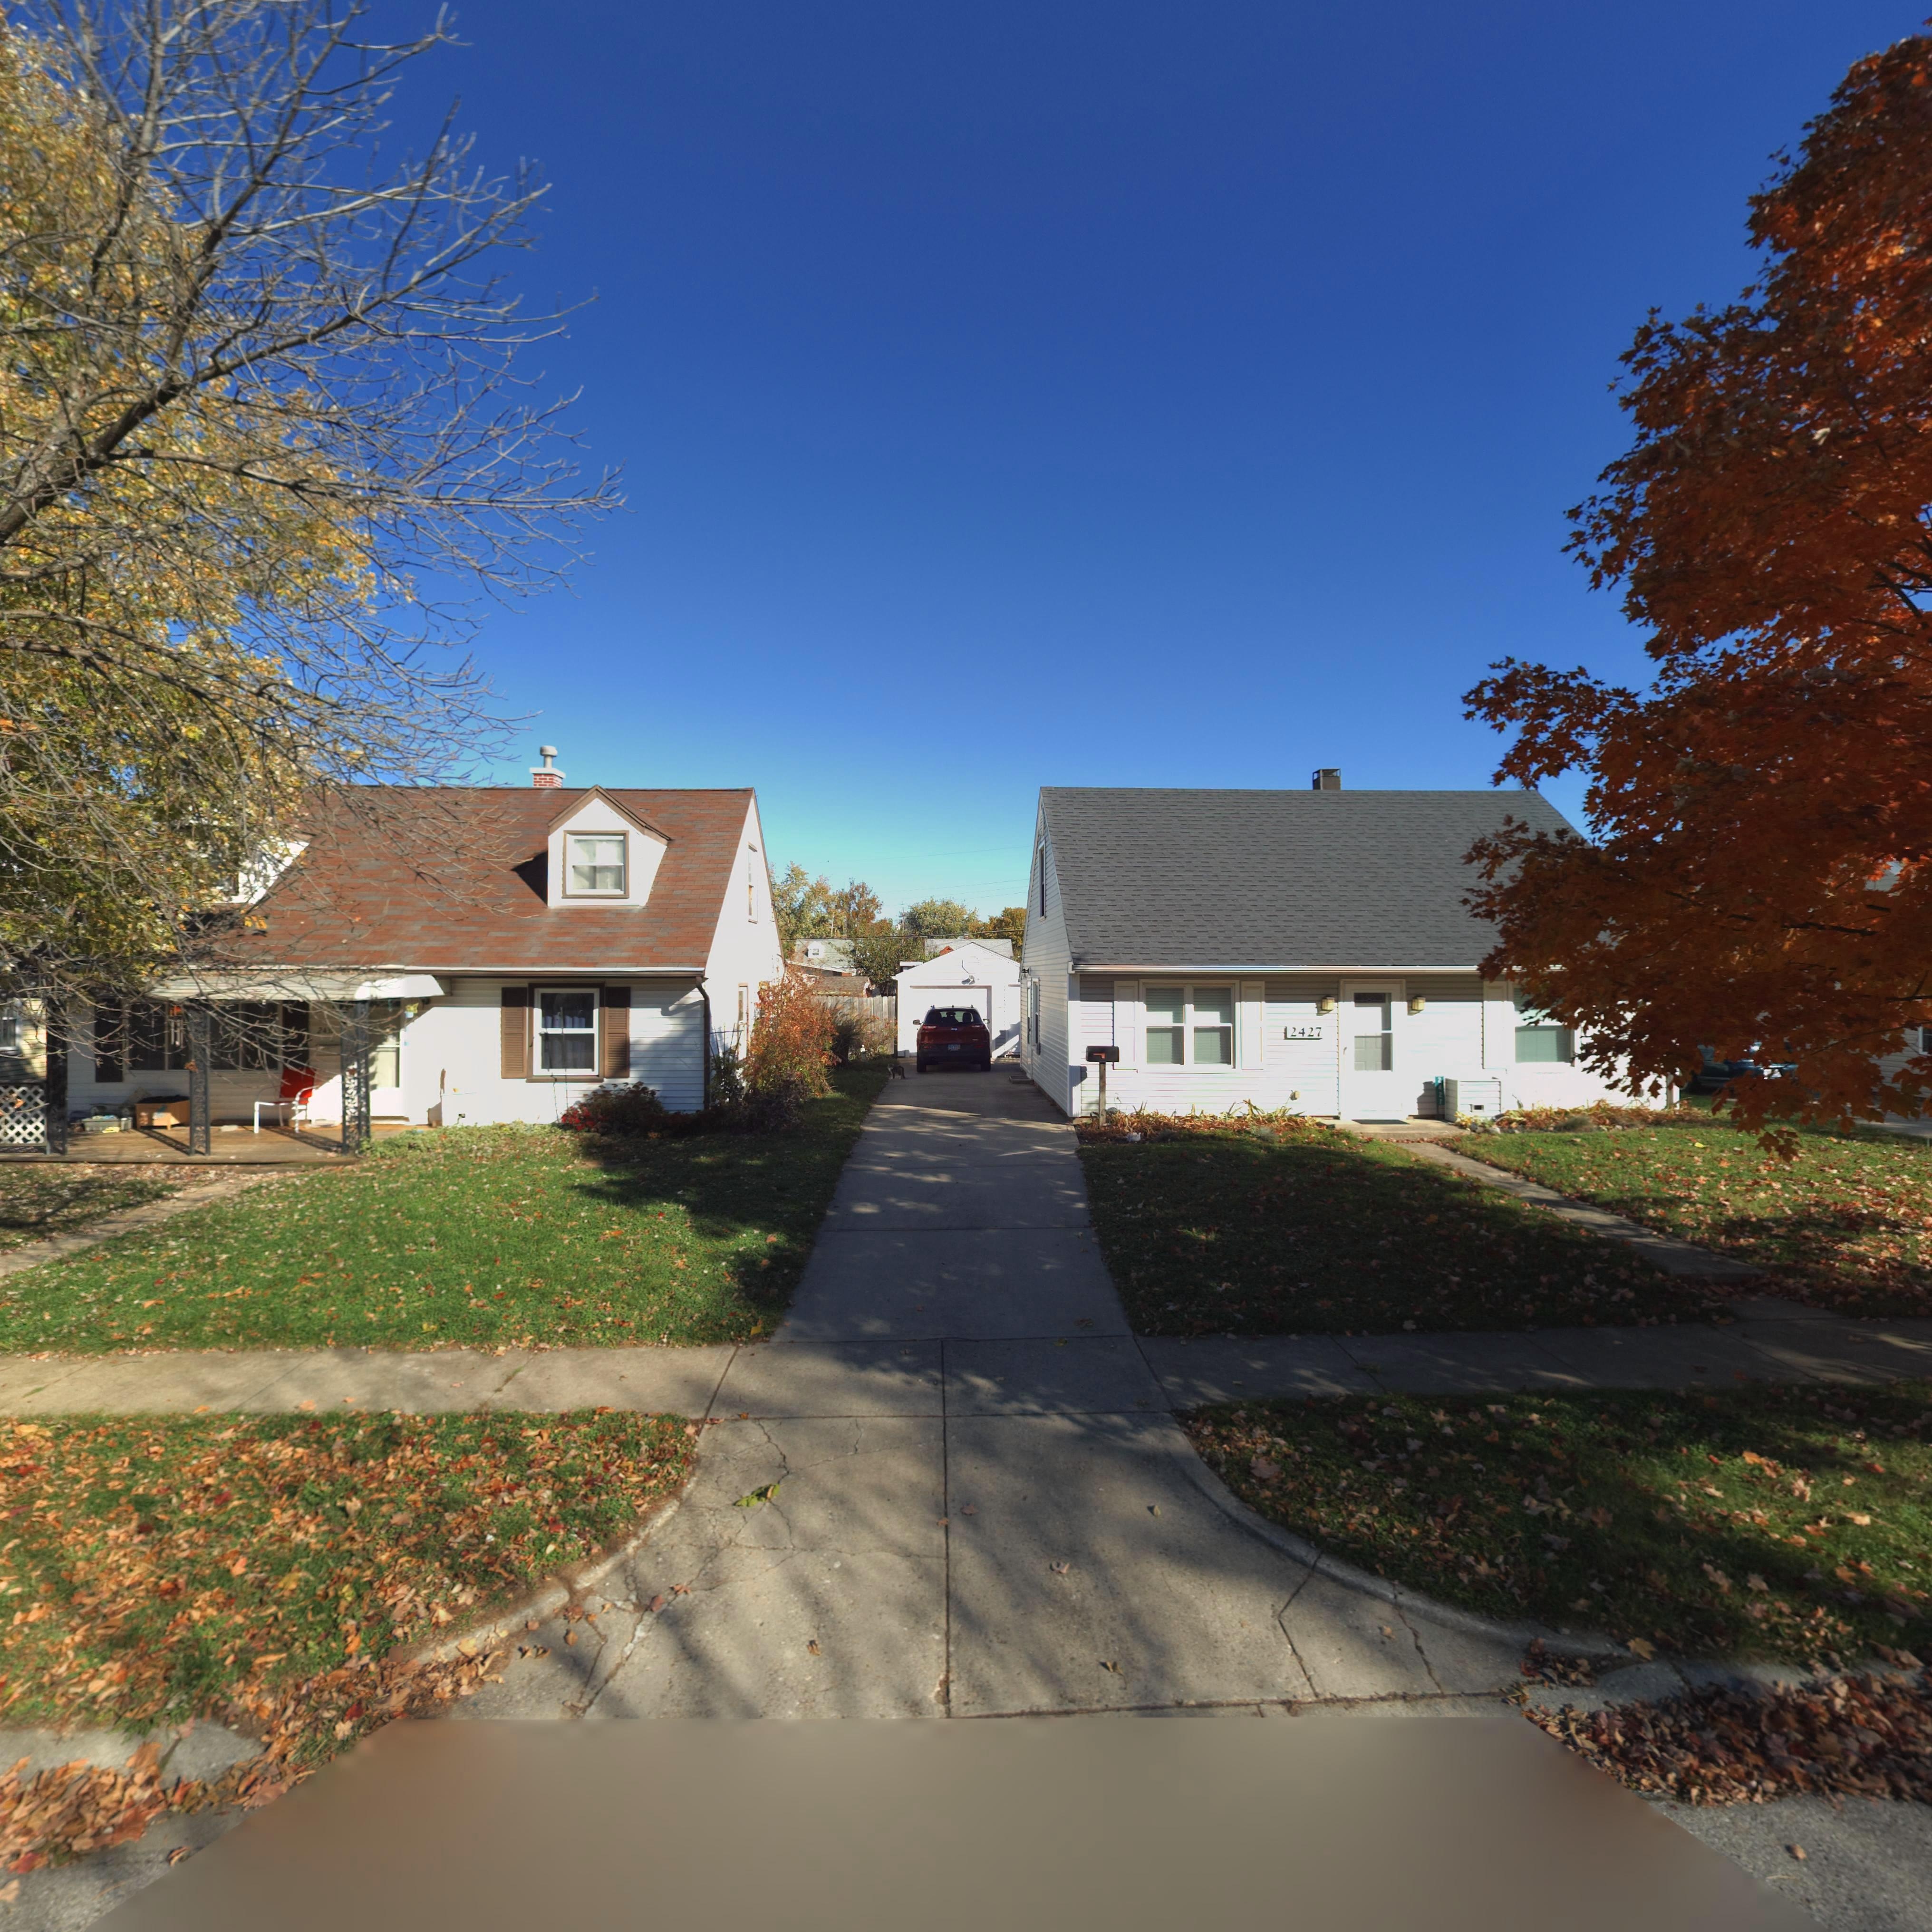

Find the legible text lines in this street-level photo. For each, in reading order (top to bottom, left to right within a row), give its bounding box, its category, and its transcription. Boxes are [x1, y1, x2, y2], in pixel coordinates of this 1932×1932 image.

[316, 1026, 328, 1035] StreetNumber: 24
[1289, 1025, 1323, 1038] StreetNumber: 2427
[1437, 1076, 1444, 1106] StreetNumber: 2427